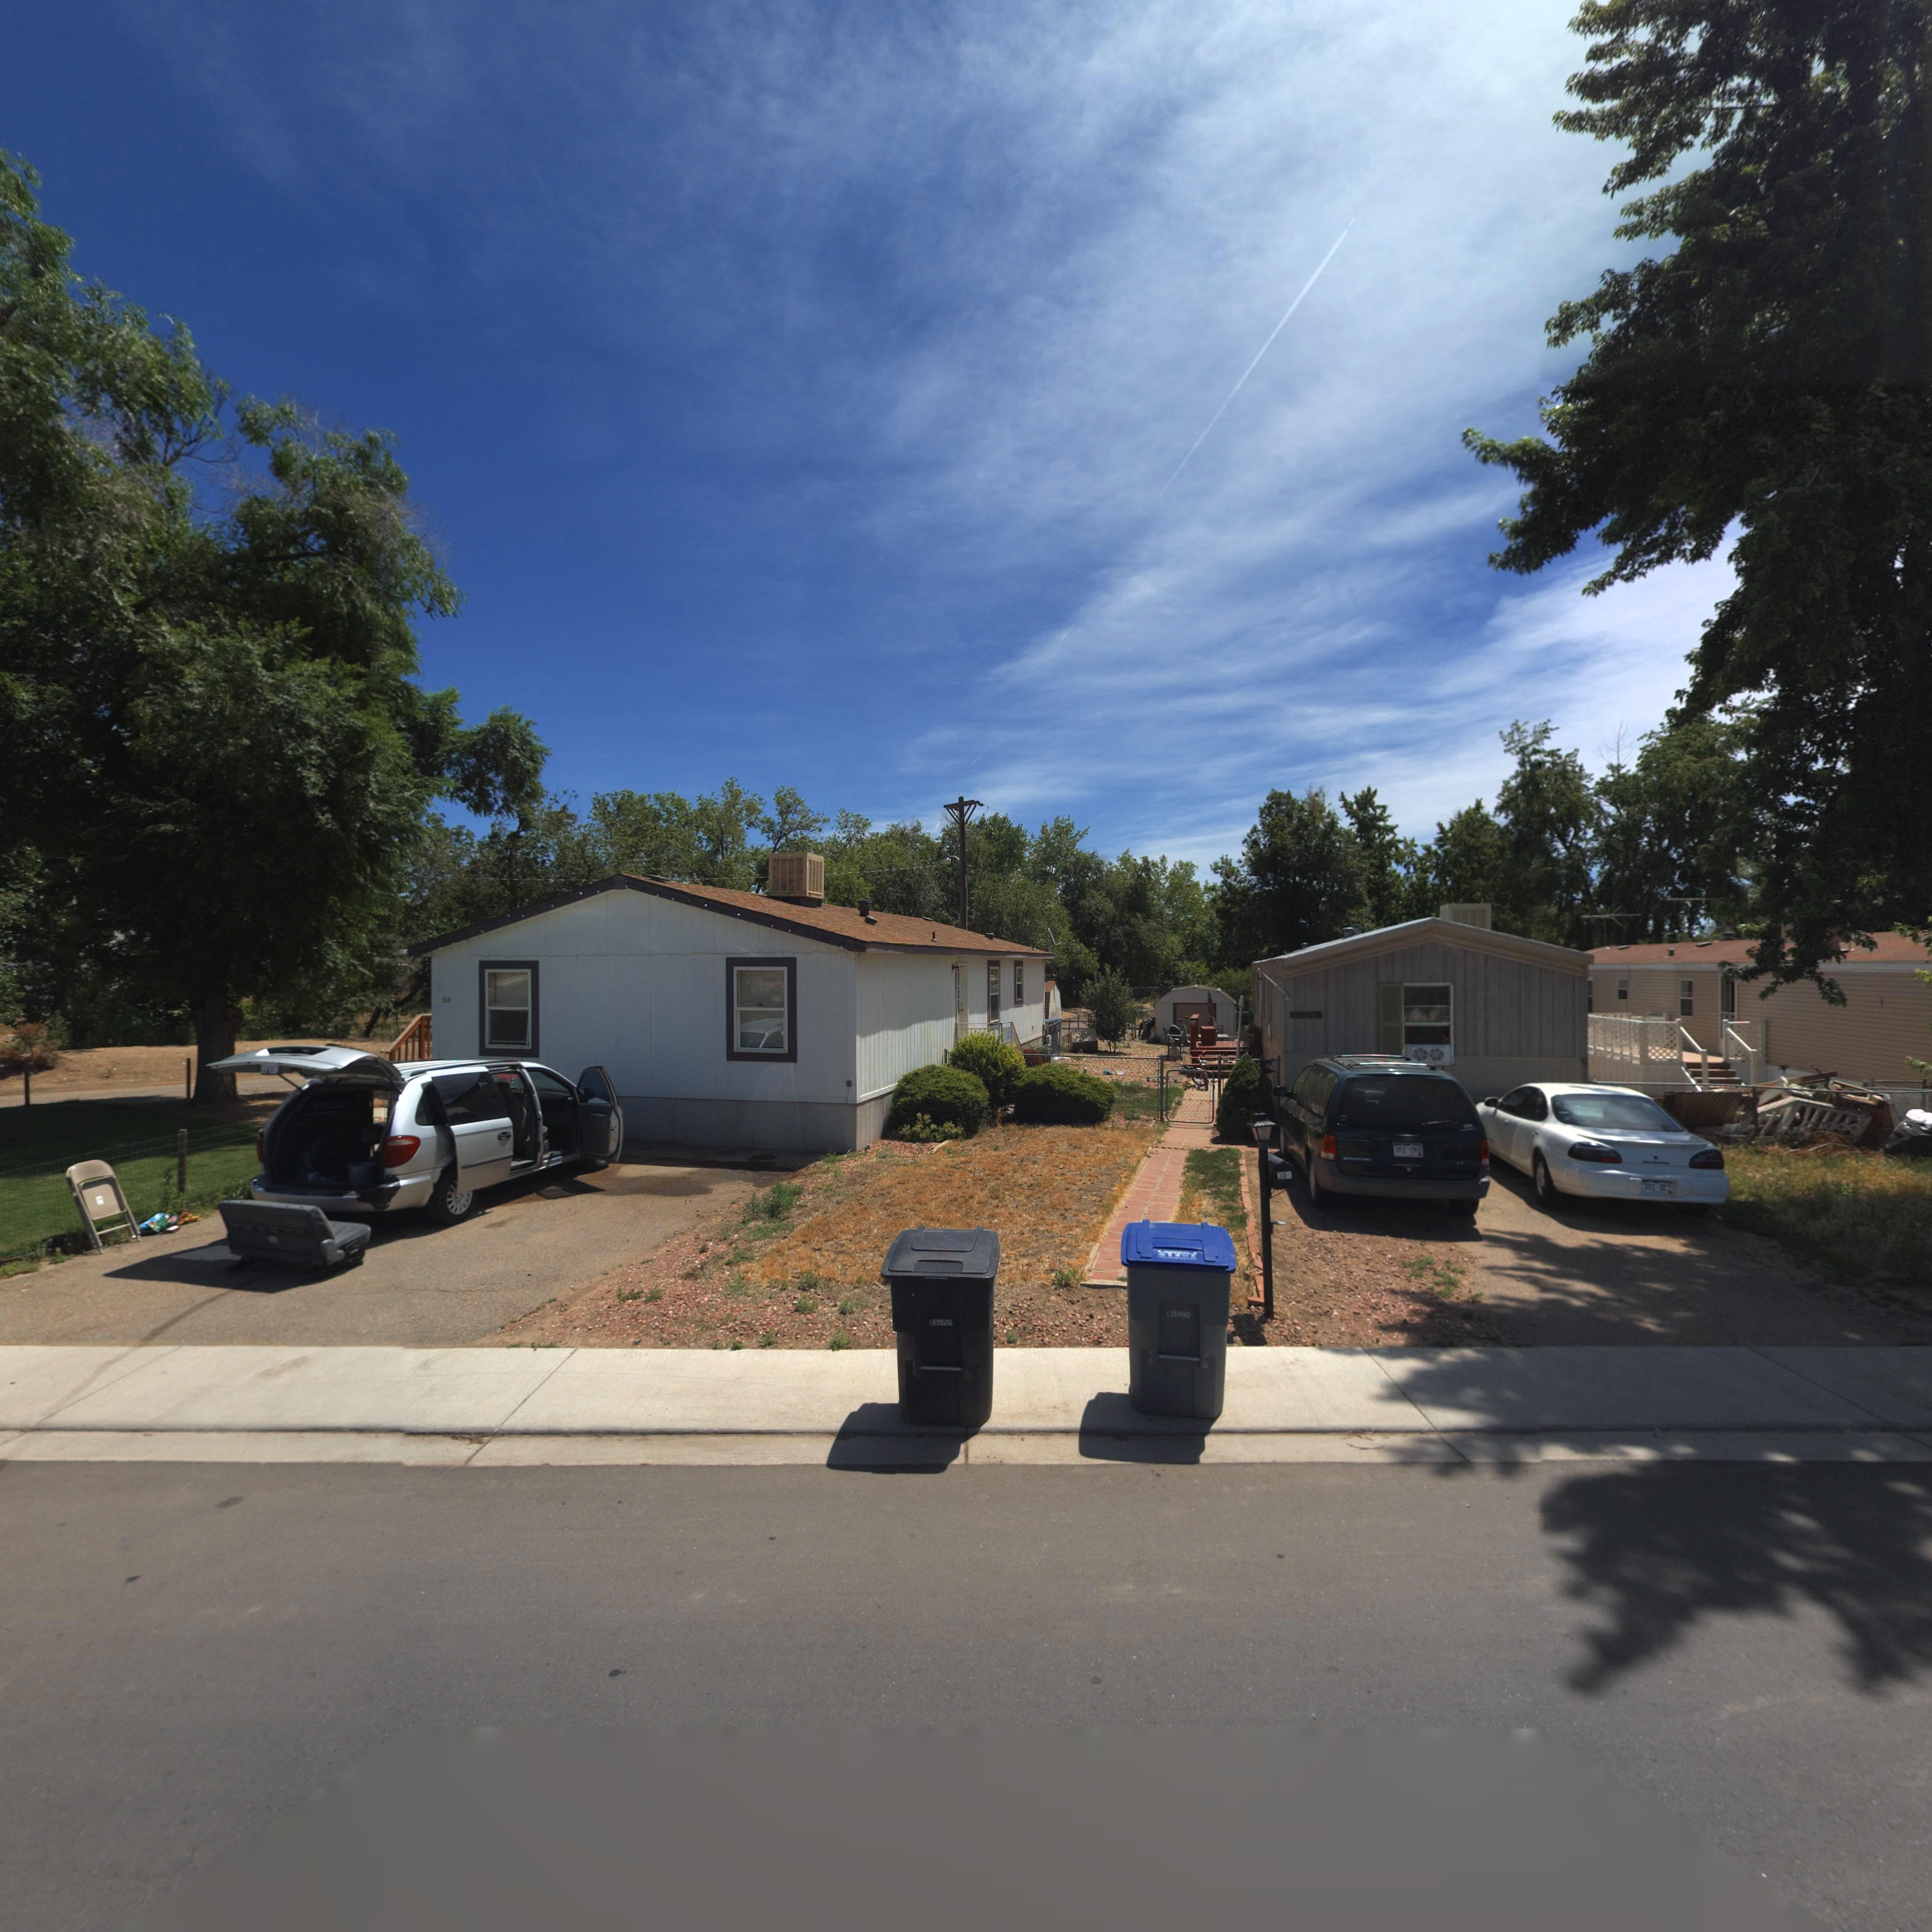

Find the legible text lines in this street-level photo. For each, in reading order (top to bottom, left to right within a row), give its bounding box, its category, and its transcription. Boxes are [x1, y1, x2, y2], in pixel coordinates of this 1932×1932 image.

[441, 996, 451, 1003] StreetNumber: 302
[1278, 1169, 1292, 1180] StreetNumber: 304